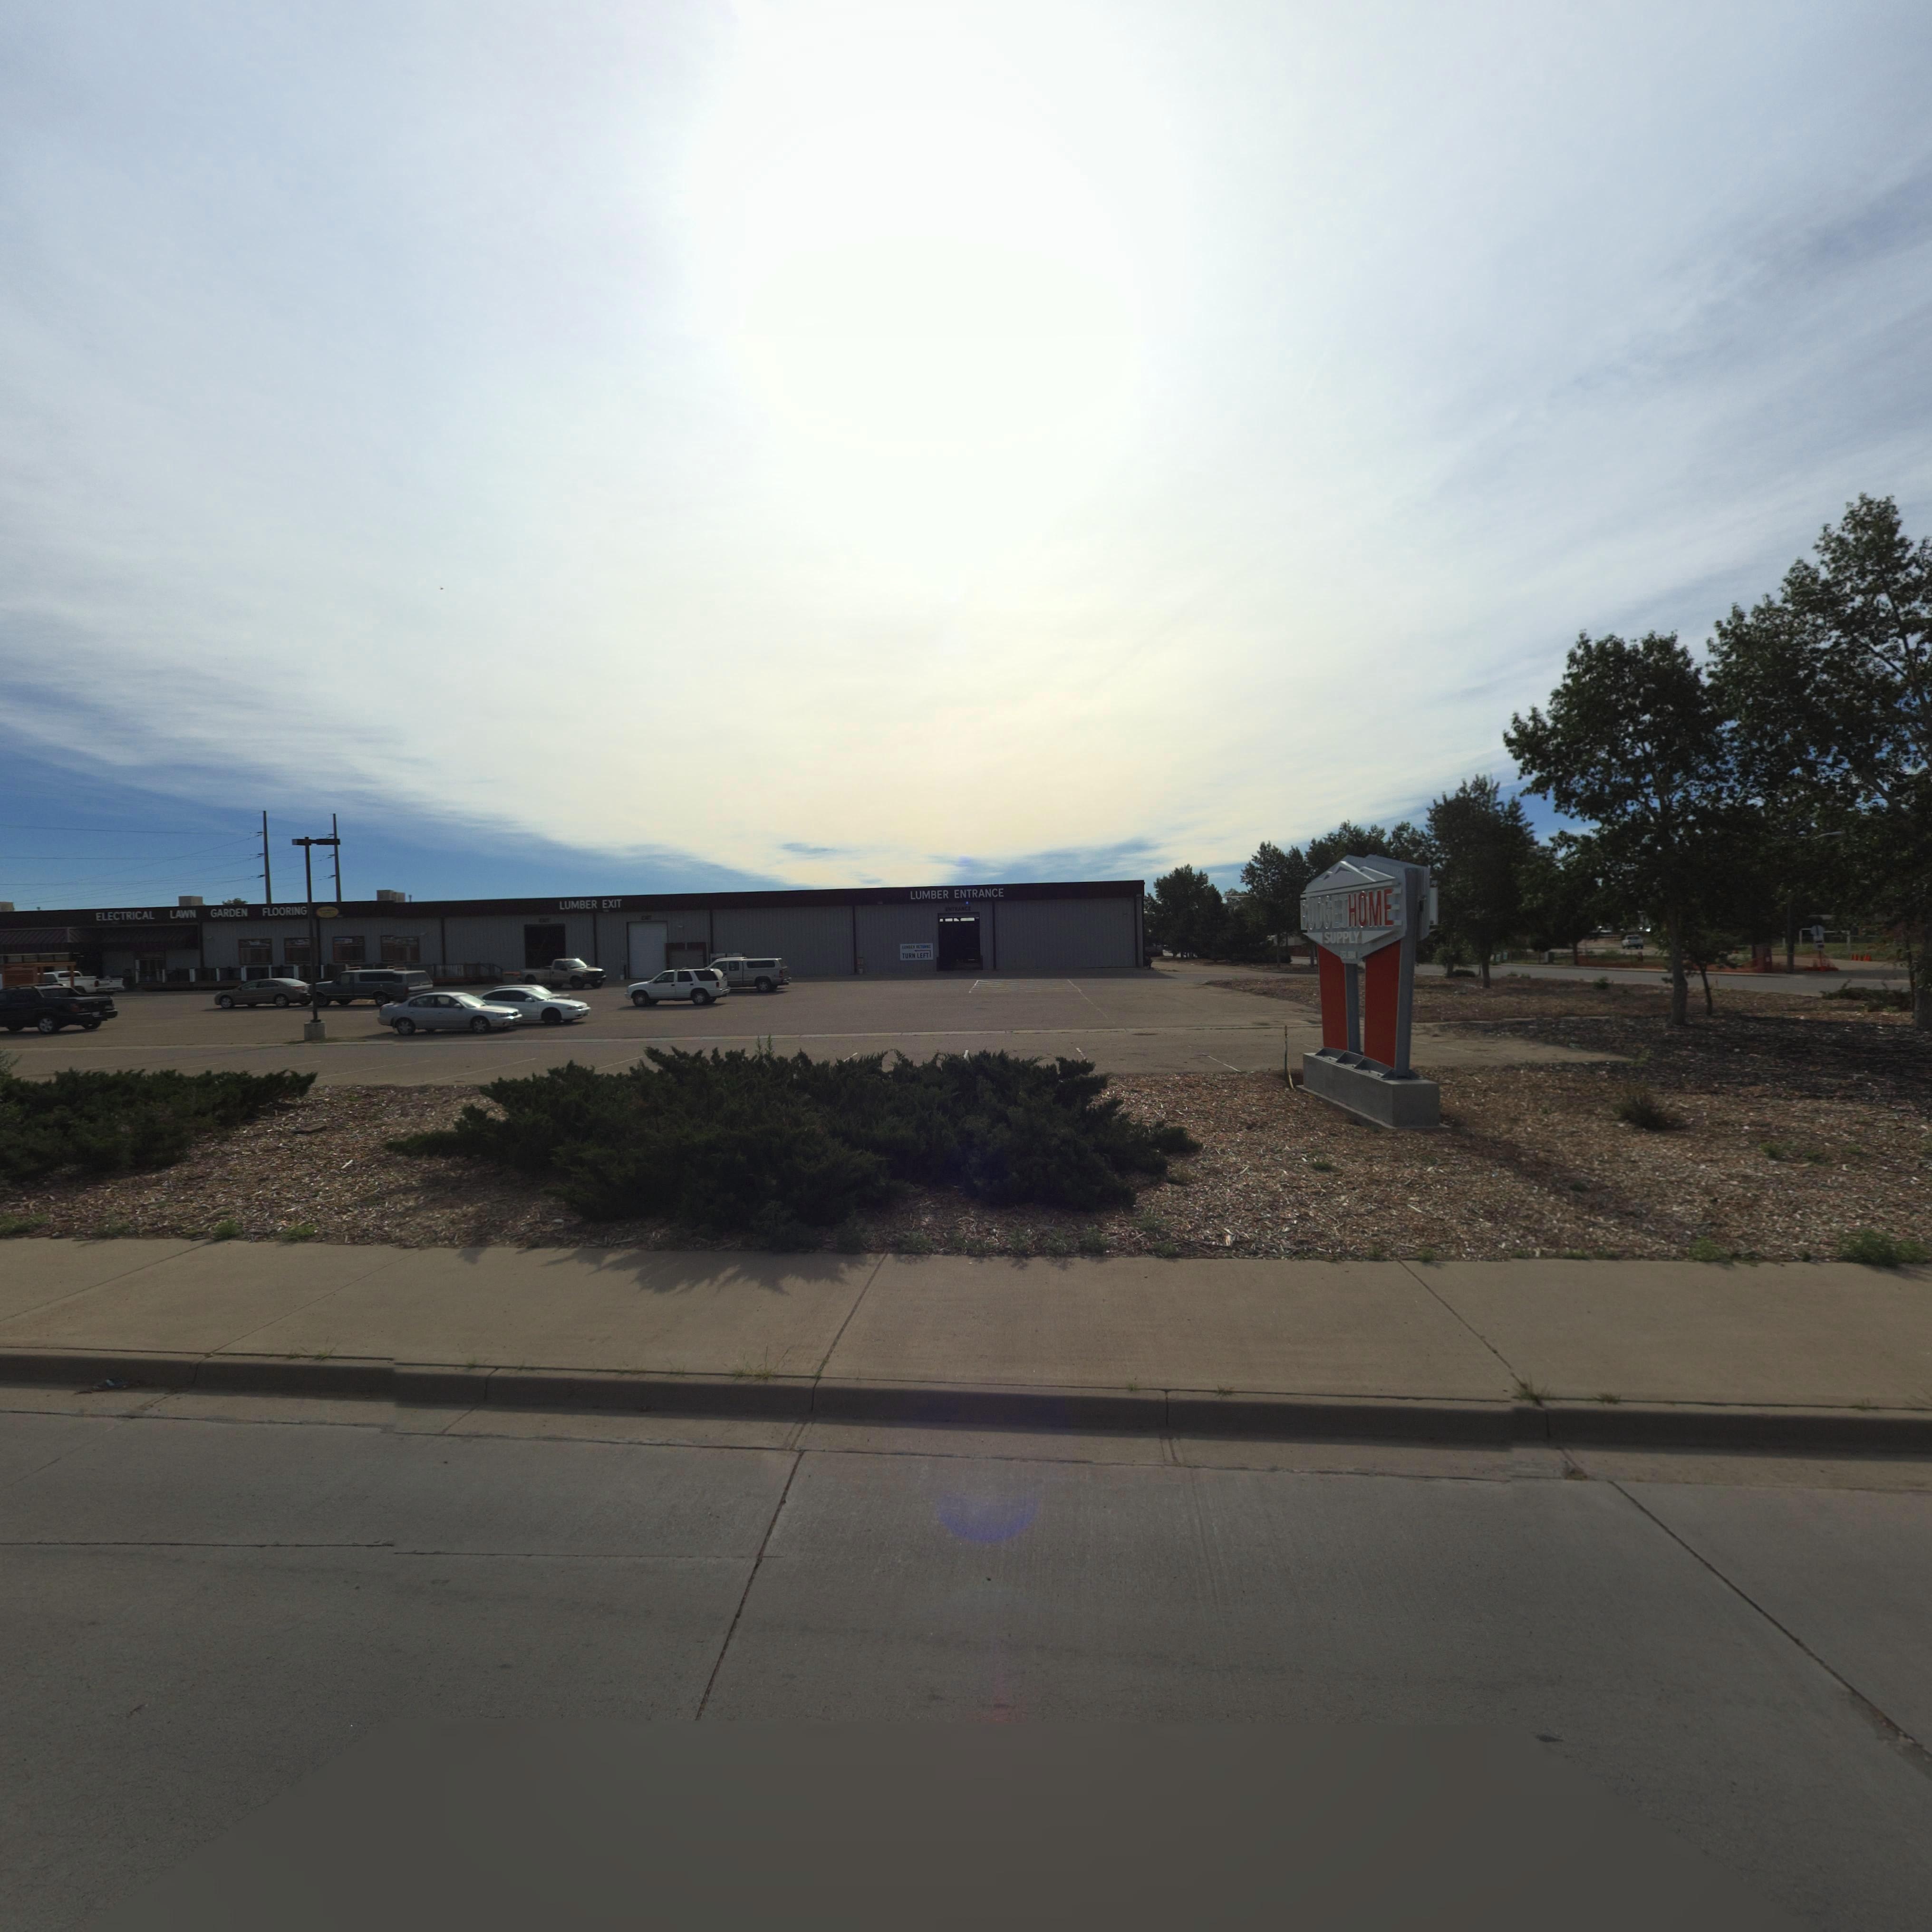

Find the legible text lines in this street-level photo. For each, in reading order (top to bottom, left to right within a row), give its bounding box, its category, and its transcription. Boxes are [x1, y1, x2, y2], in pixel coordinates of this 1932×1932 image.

[1299, 886, 1394, 930] BusinessName: BUDGETHOME
[1323, 930, 1362, 945] BusinessName: SUPPLY